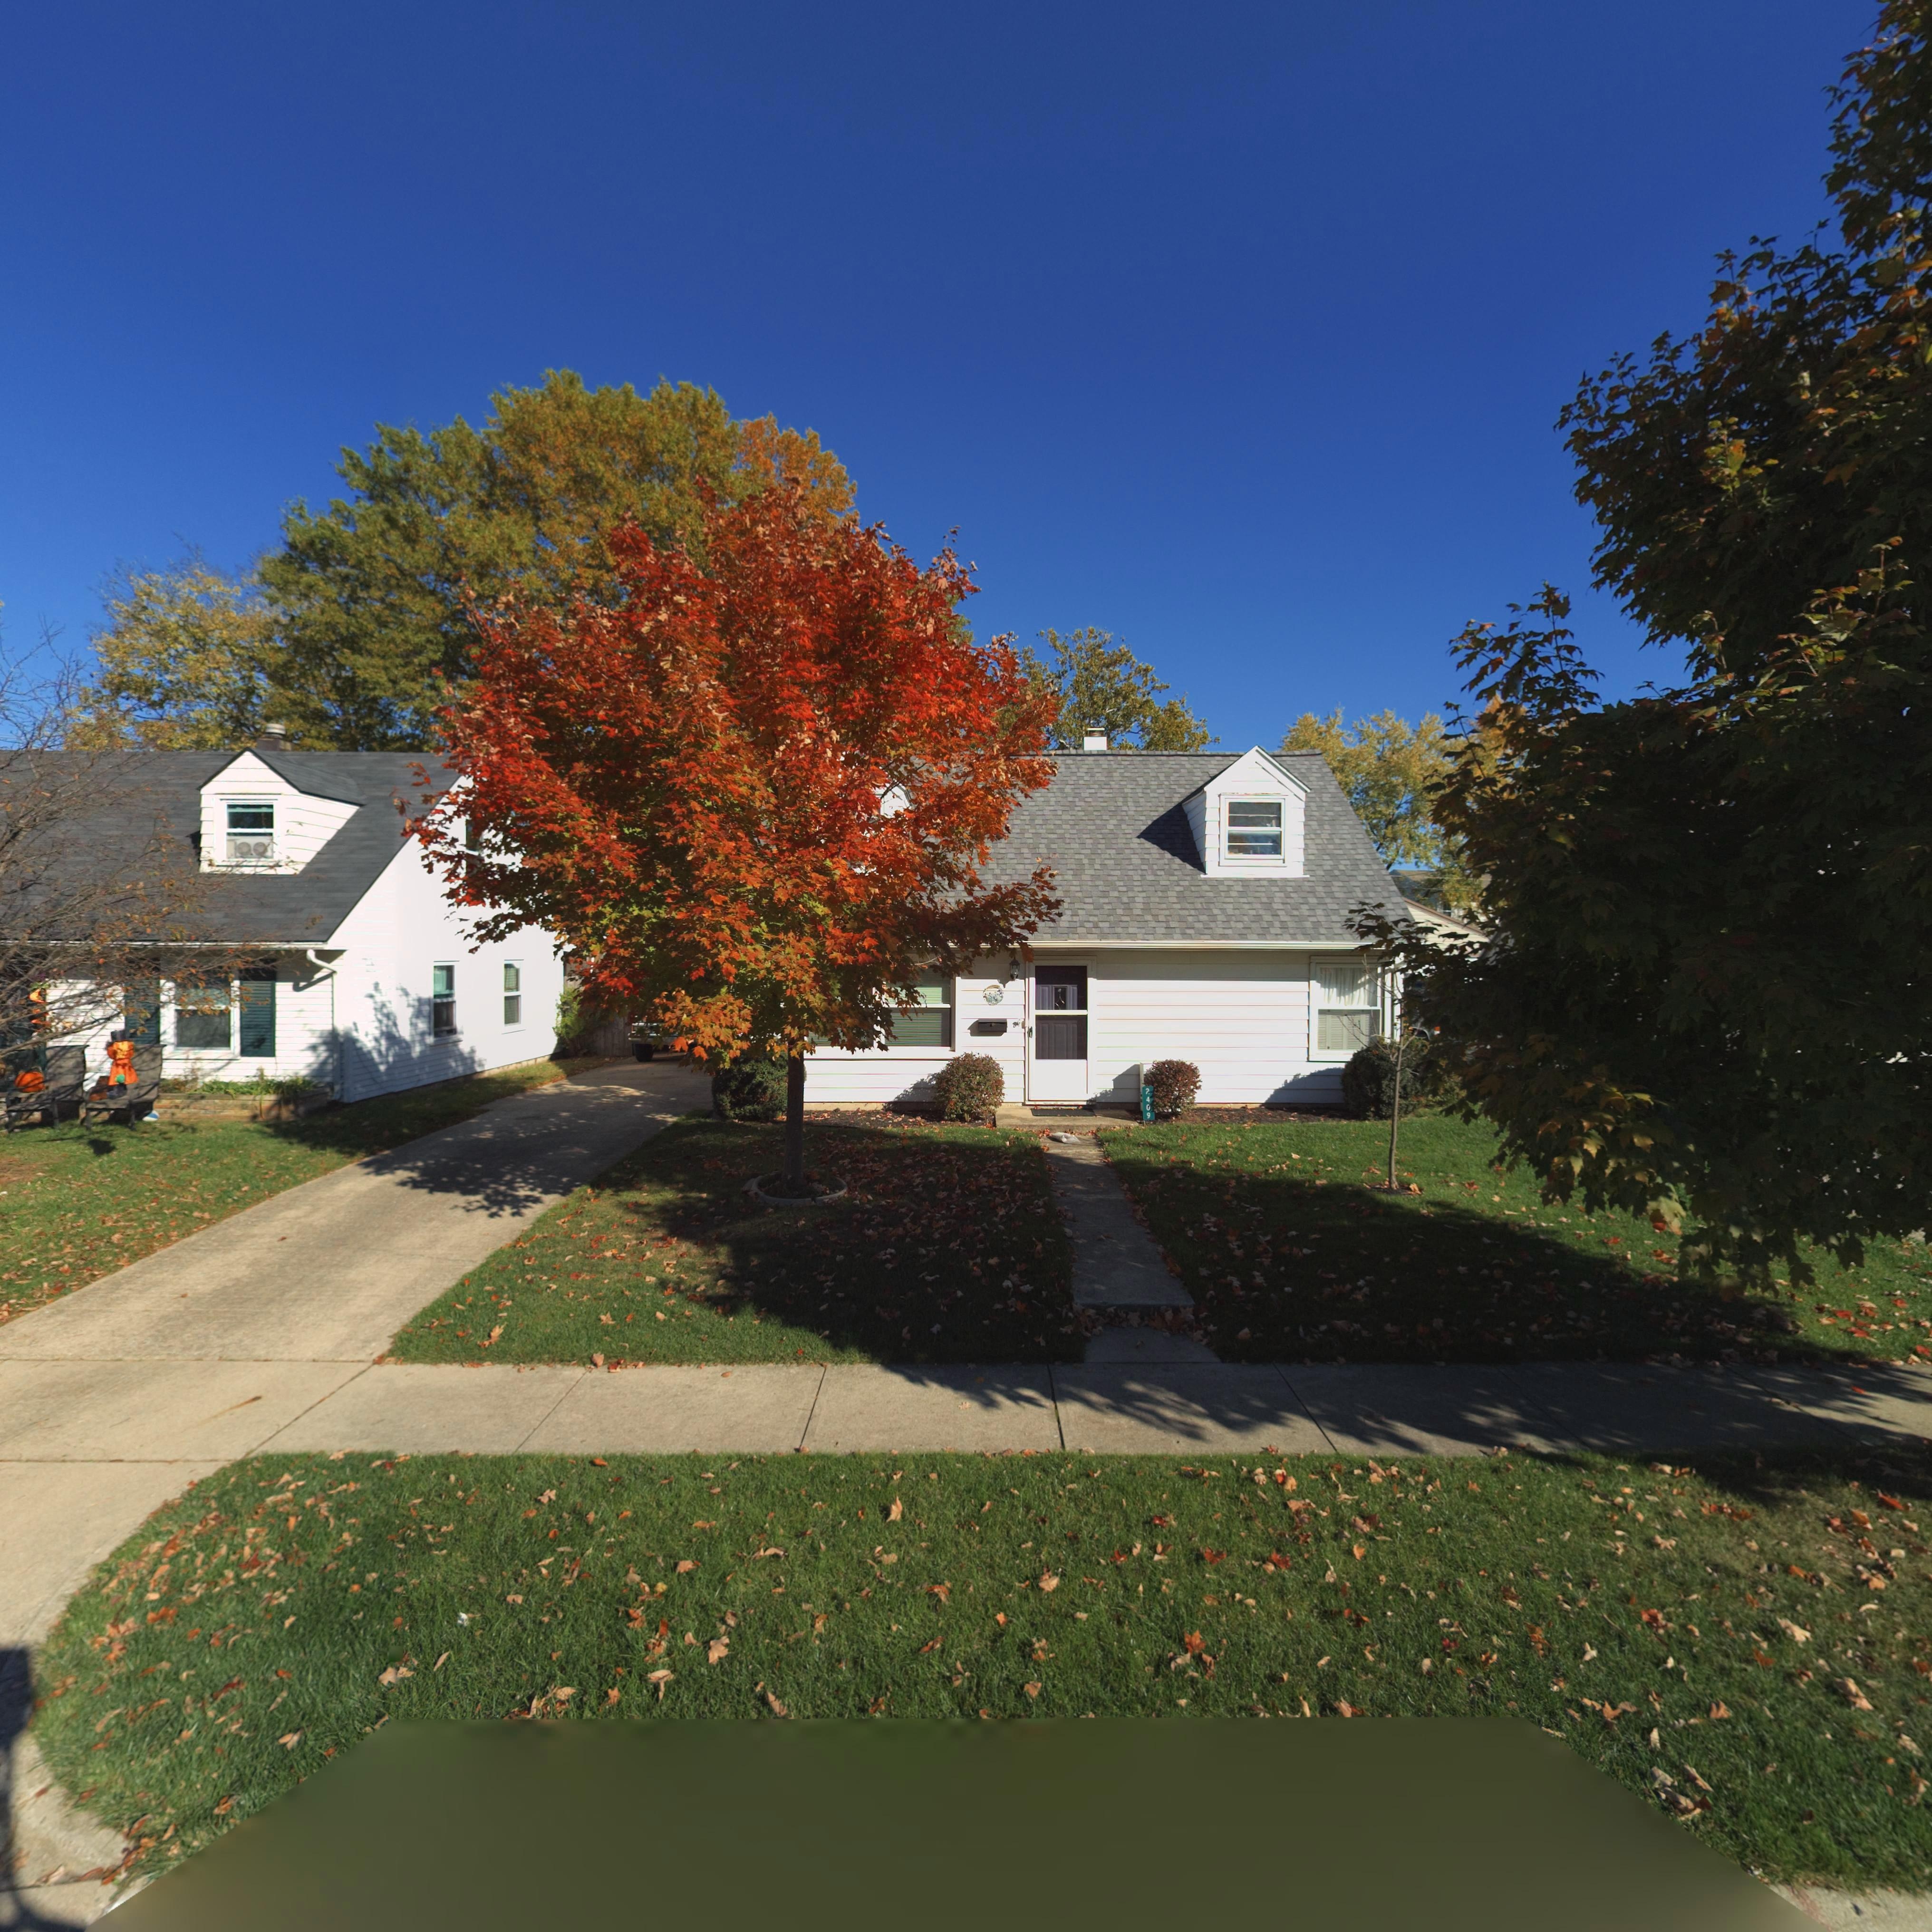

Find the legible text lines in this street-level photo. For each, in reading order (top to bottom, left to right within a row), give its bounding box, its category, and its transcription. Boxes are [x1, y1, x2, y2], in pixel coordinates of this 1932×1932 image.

[1144, 1087, 1152, 1120] StreetNumber: 2409